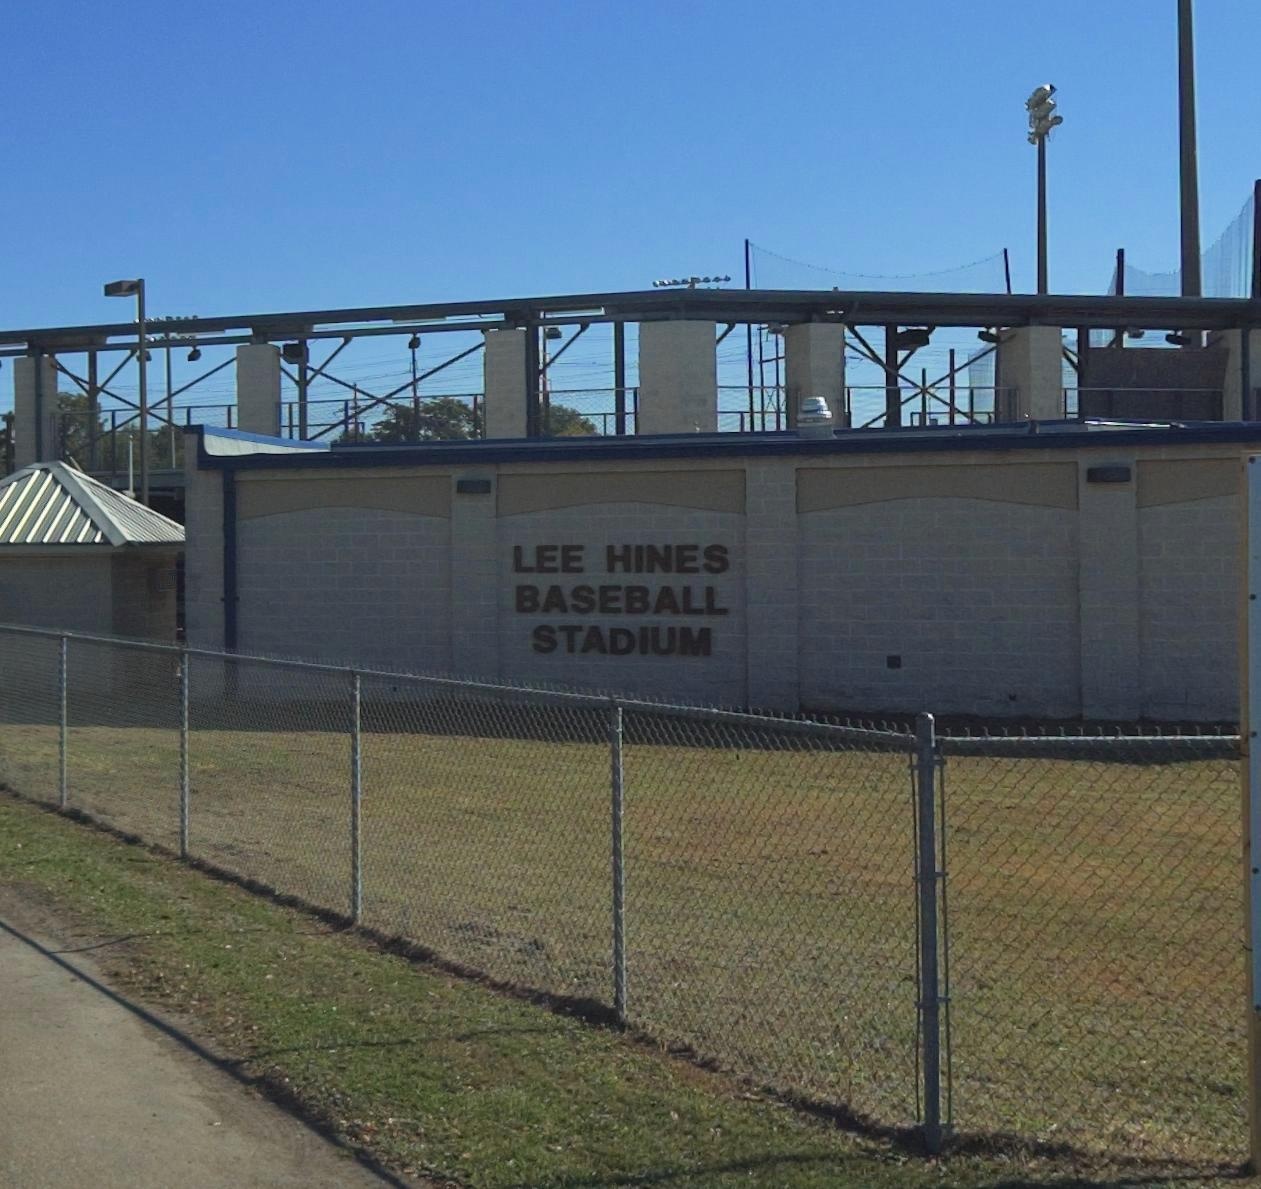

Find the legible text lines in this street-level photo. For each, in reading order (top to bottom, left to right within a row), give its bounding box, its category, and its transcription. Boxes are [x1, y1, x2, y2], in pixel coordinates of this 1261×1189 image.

[512, 543, 731, 575] BusinessName: LEE HINES
[514, 583, 731, 617] BusinessName: BASEBALL
[530, 623, 713, 658] BusinessName: STADIUM